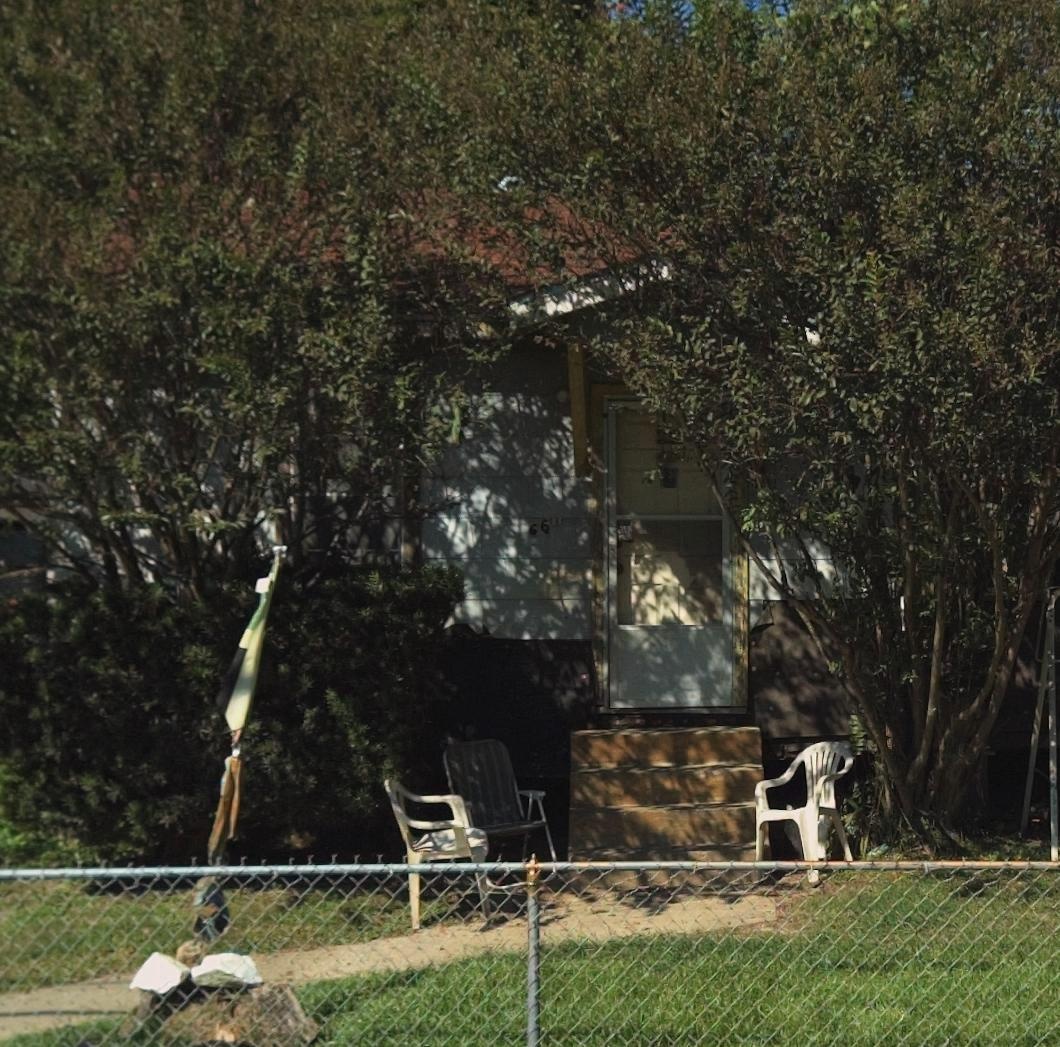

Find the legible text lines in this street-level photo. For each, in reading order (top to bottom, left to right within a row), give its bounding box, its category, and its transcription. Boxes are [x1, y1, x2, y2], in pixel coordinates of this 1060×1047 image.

[527, 517, 551, 538] StreetNumber: 66